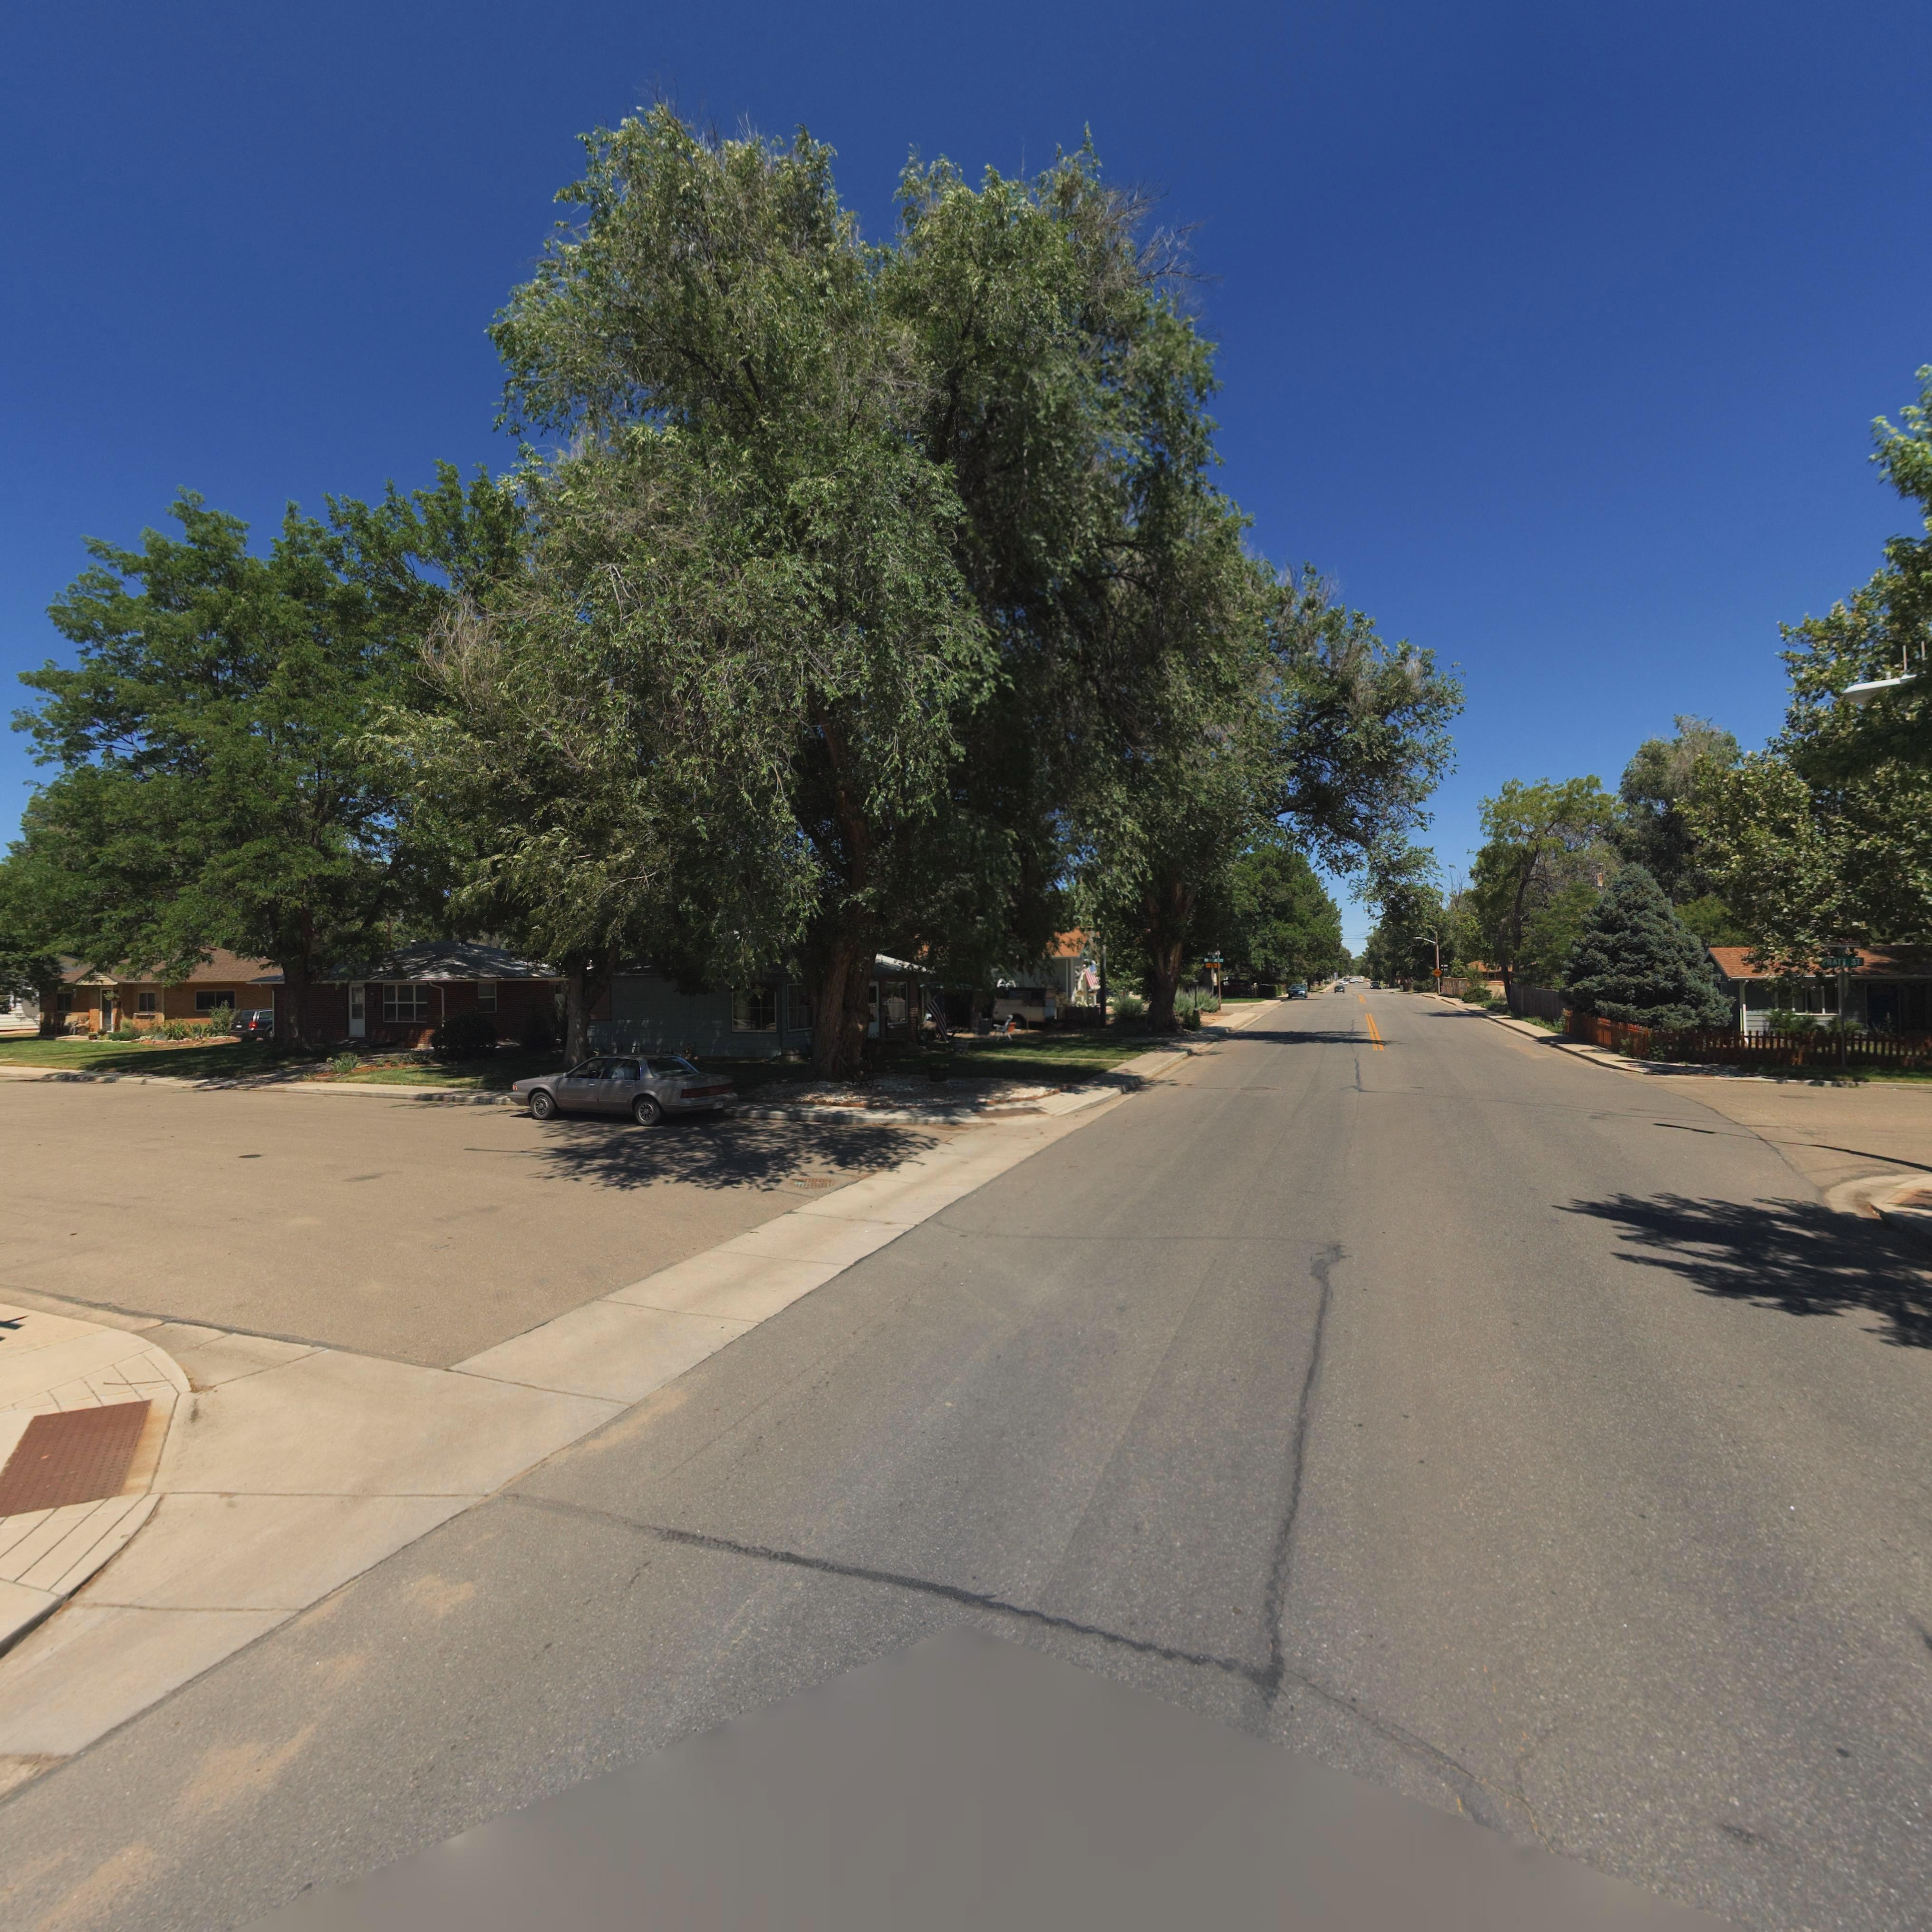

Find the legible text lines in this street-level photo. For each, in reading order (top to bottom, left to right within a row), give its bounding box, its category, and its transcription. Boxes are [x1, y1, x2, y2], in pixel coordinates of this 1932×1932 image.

[1821, 957, 1861, 965] StreetName: *RATT ST